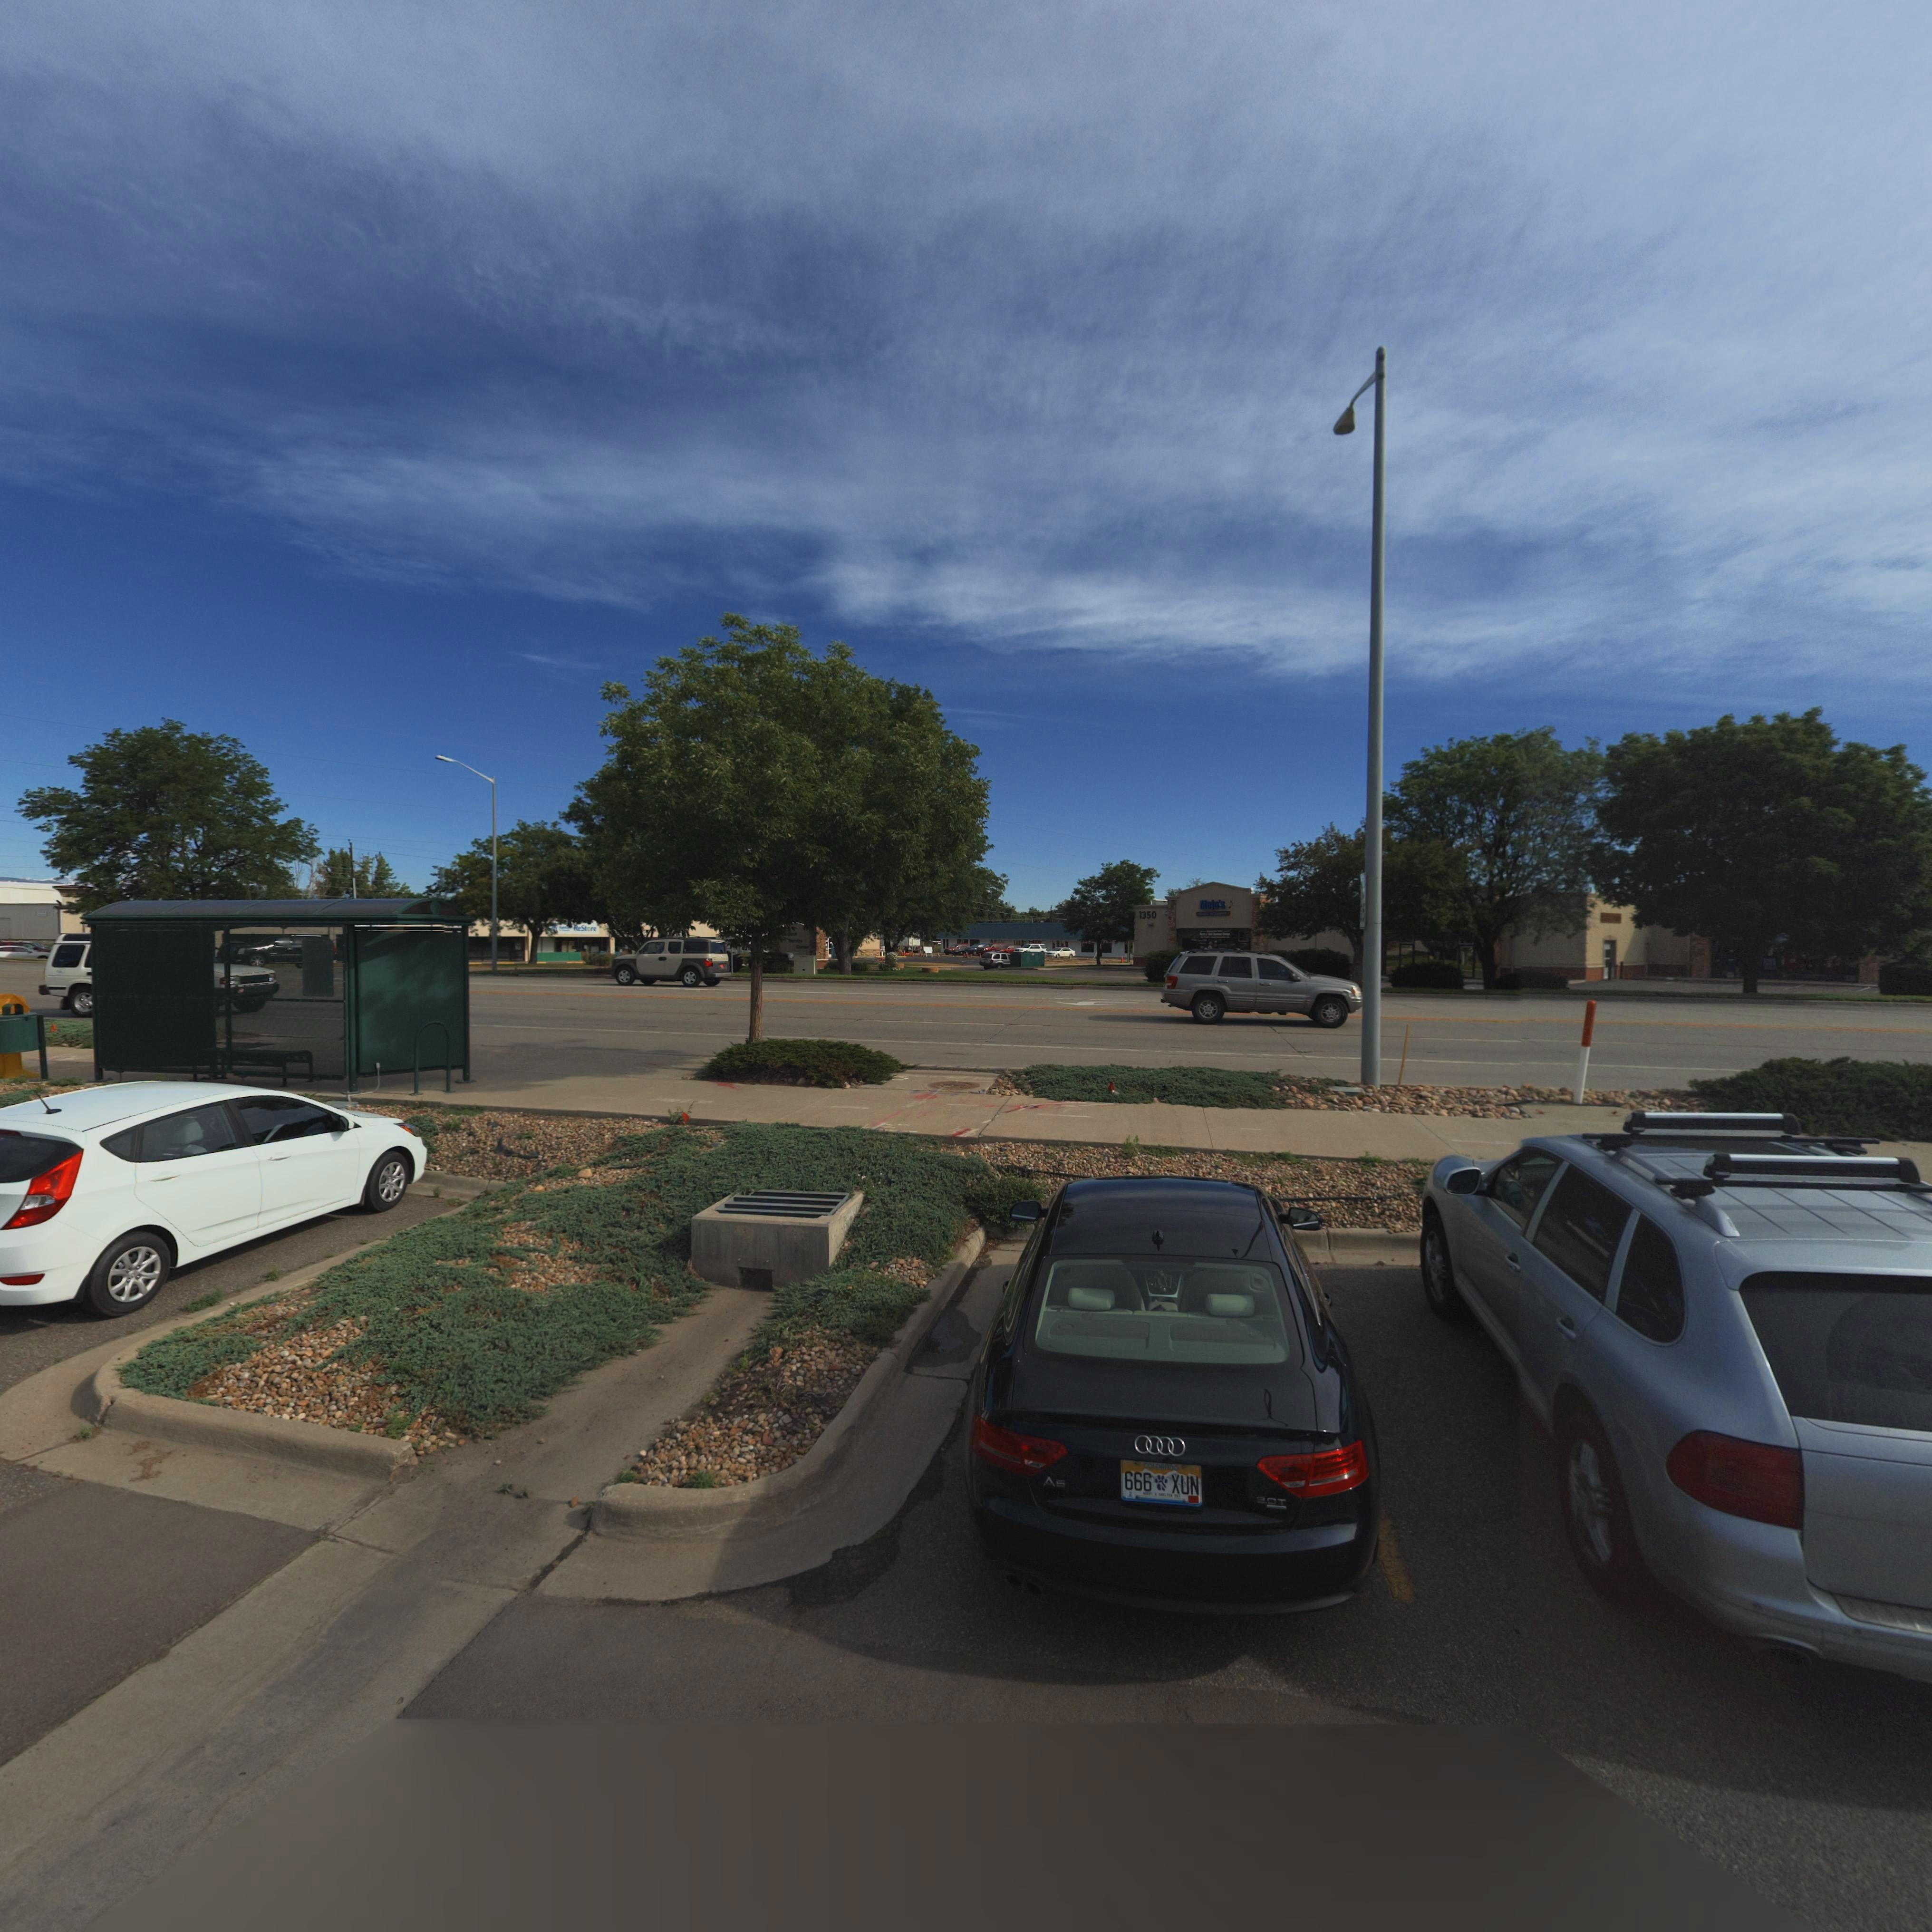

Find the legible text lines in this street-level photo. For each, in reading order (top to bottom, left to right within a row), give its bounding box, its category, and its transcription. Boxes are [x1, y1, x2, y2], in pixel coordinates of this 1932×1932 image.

[1199, 899, 1226, 910] BusinessName: Mojo's
[1138, 910, 1157, 919] StreetNumber: 1350
[573, 924, 597, 931] BusinessName: ReStore